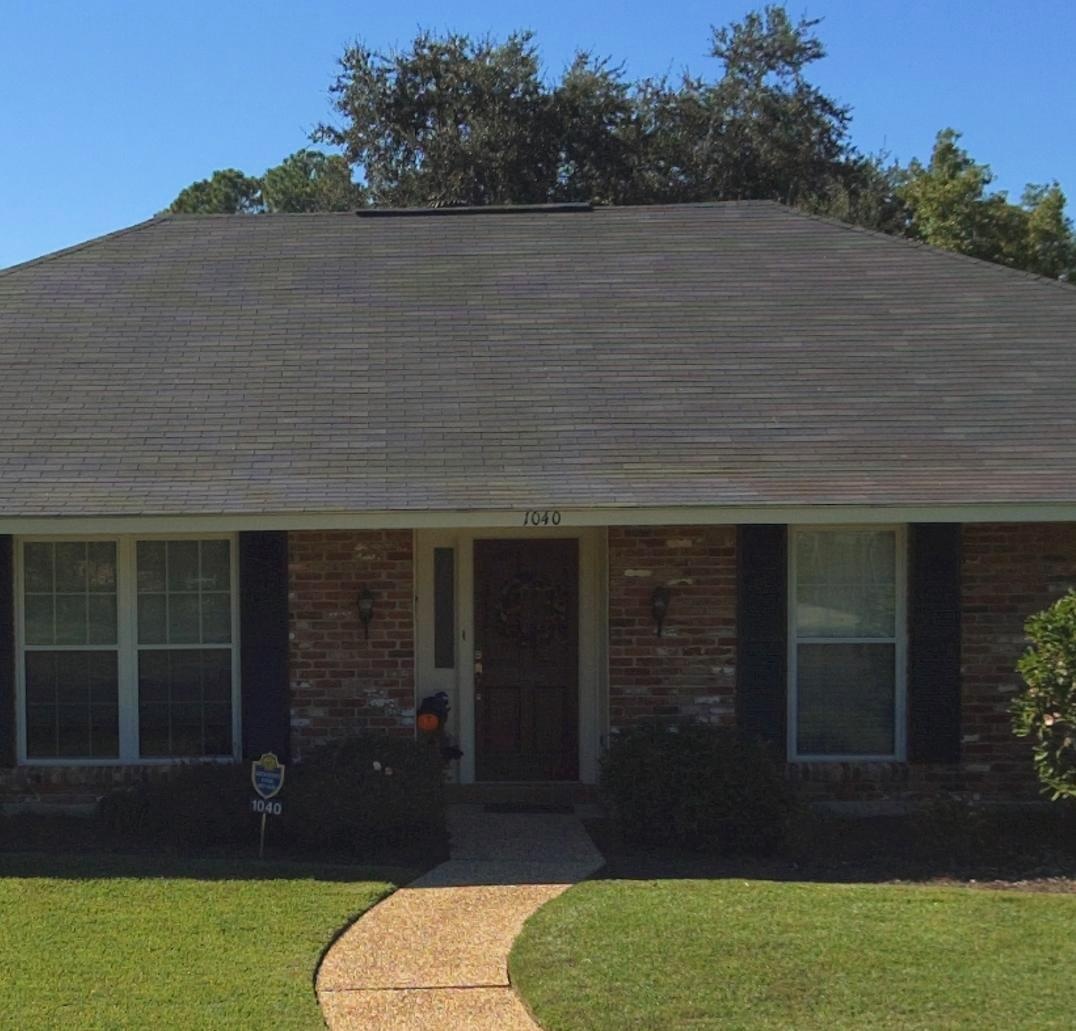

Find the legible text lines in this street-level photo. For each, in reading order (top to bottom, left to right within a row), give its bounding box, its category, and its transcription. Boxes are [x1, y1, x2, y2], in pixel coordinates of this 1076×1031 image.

[521, 510, 562, 527] StreetNumber: 1040
[249, 796, 284, 819] StreetNumber: 1040